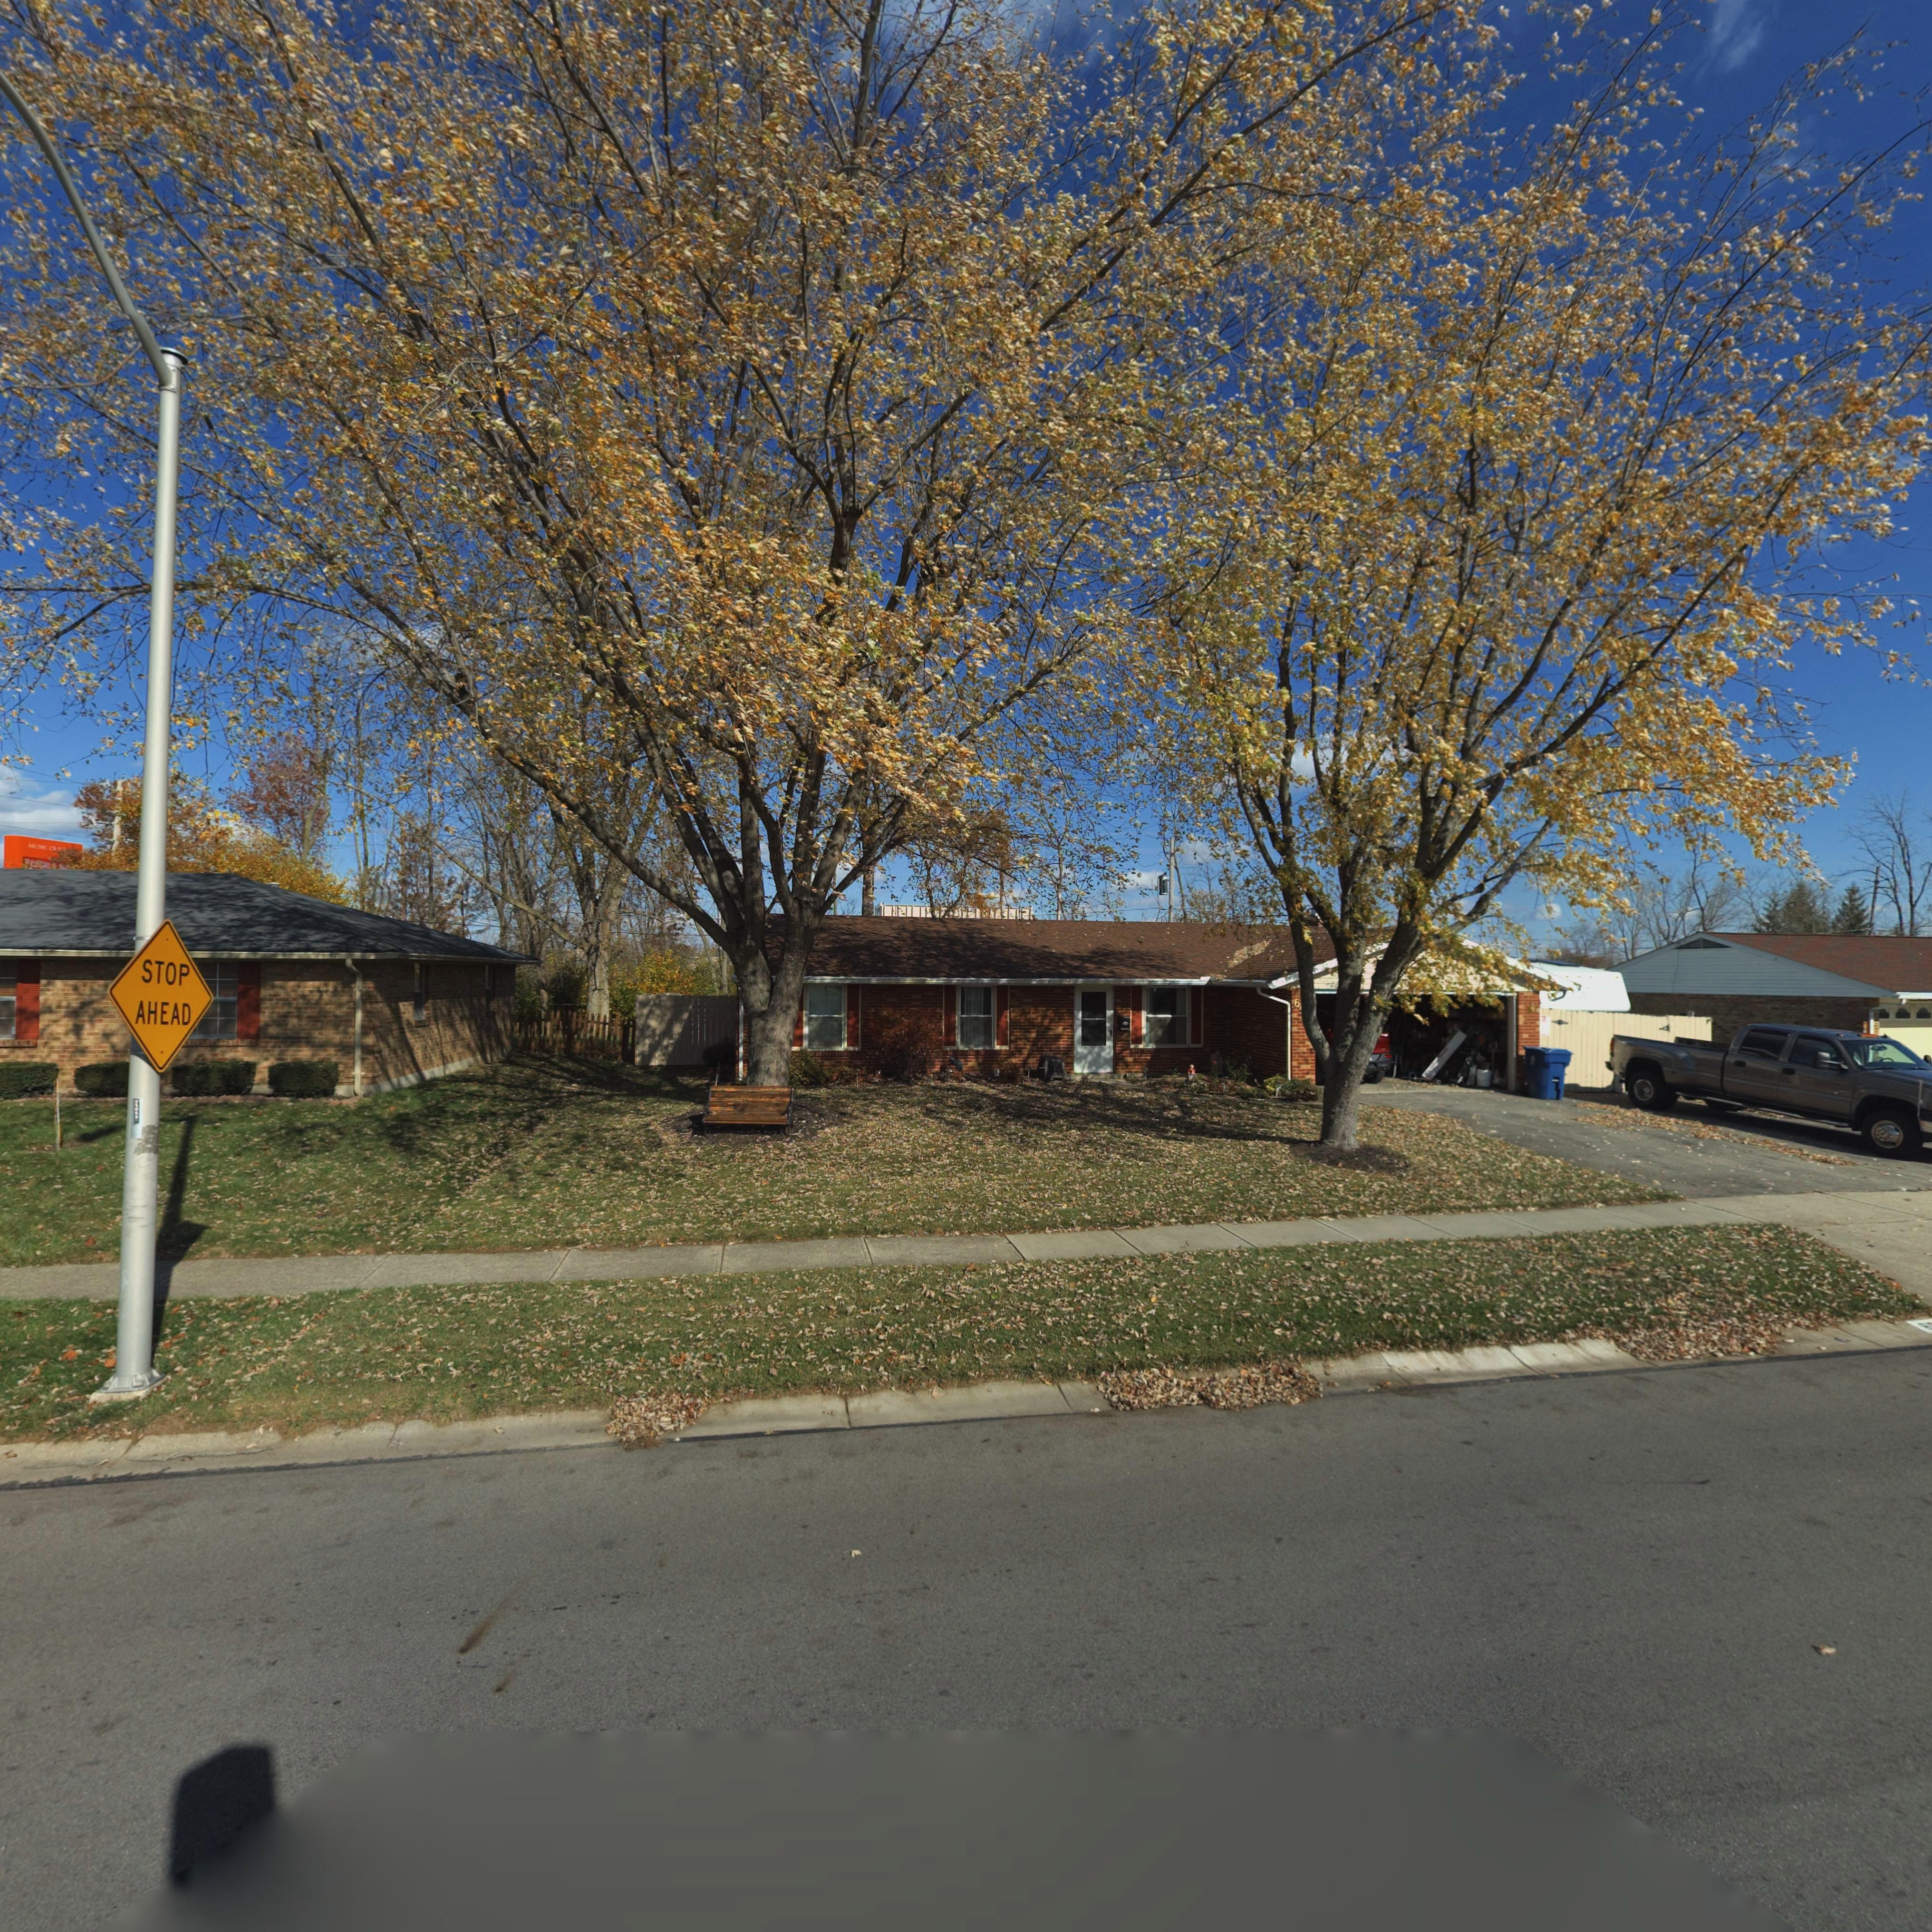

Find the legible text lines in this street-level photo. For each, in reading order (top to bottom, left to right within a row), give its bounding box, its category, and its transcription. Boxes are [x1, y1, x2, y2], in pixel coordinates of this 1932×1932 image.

[1293, 997, 1301, 1009] StreetNumber: 6